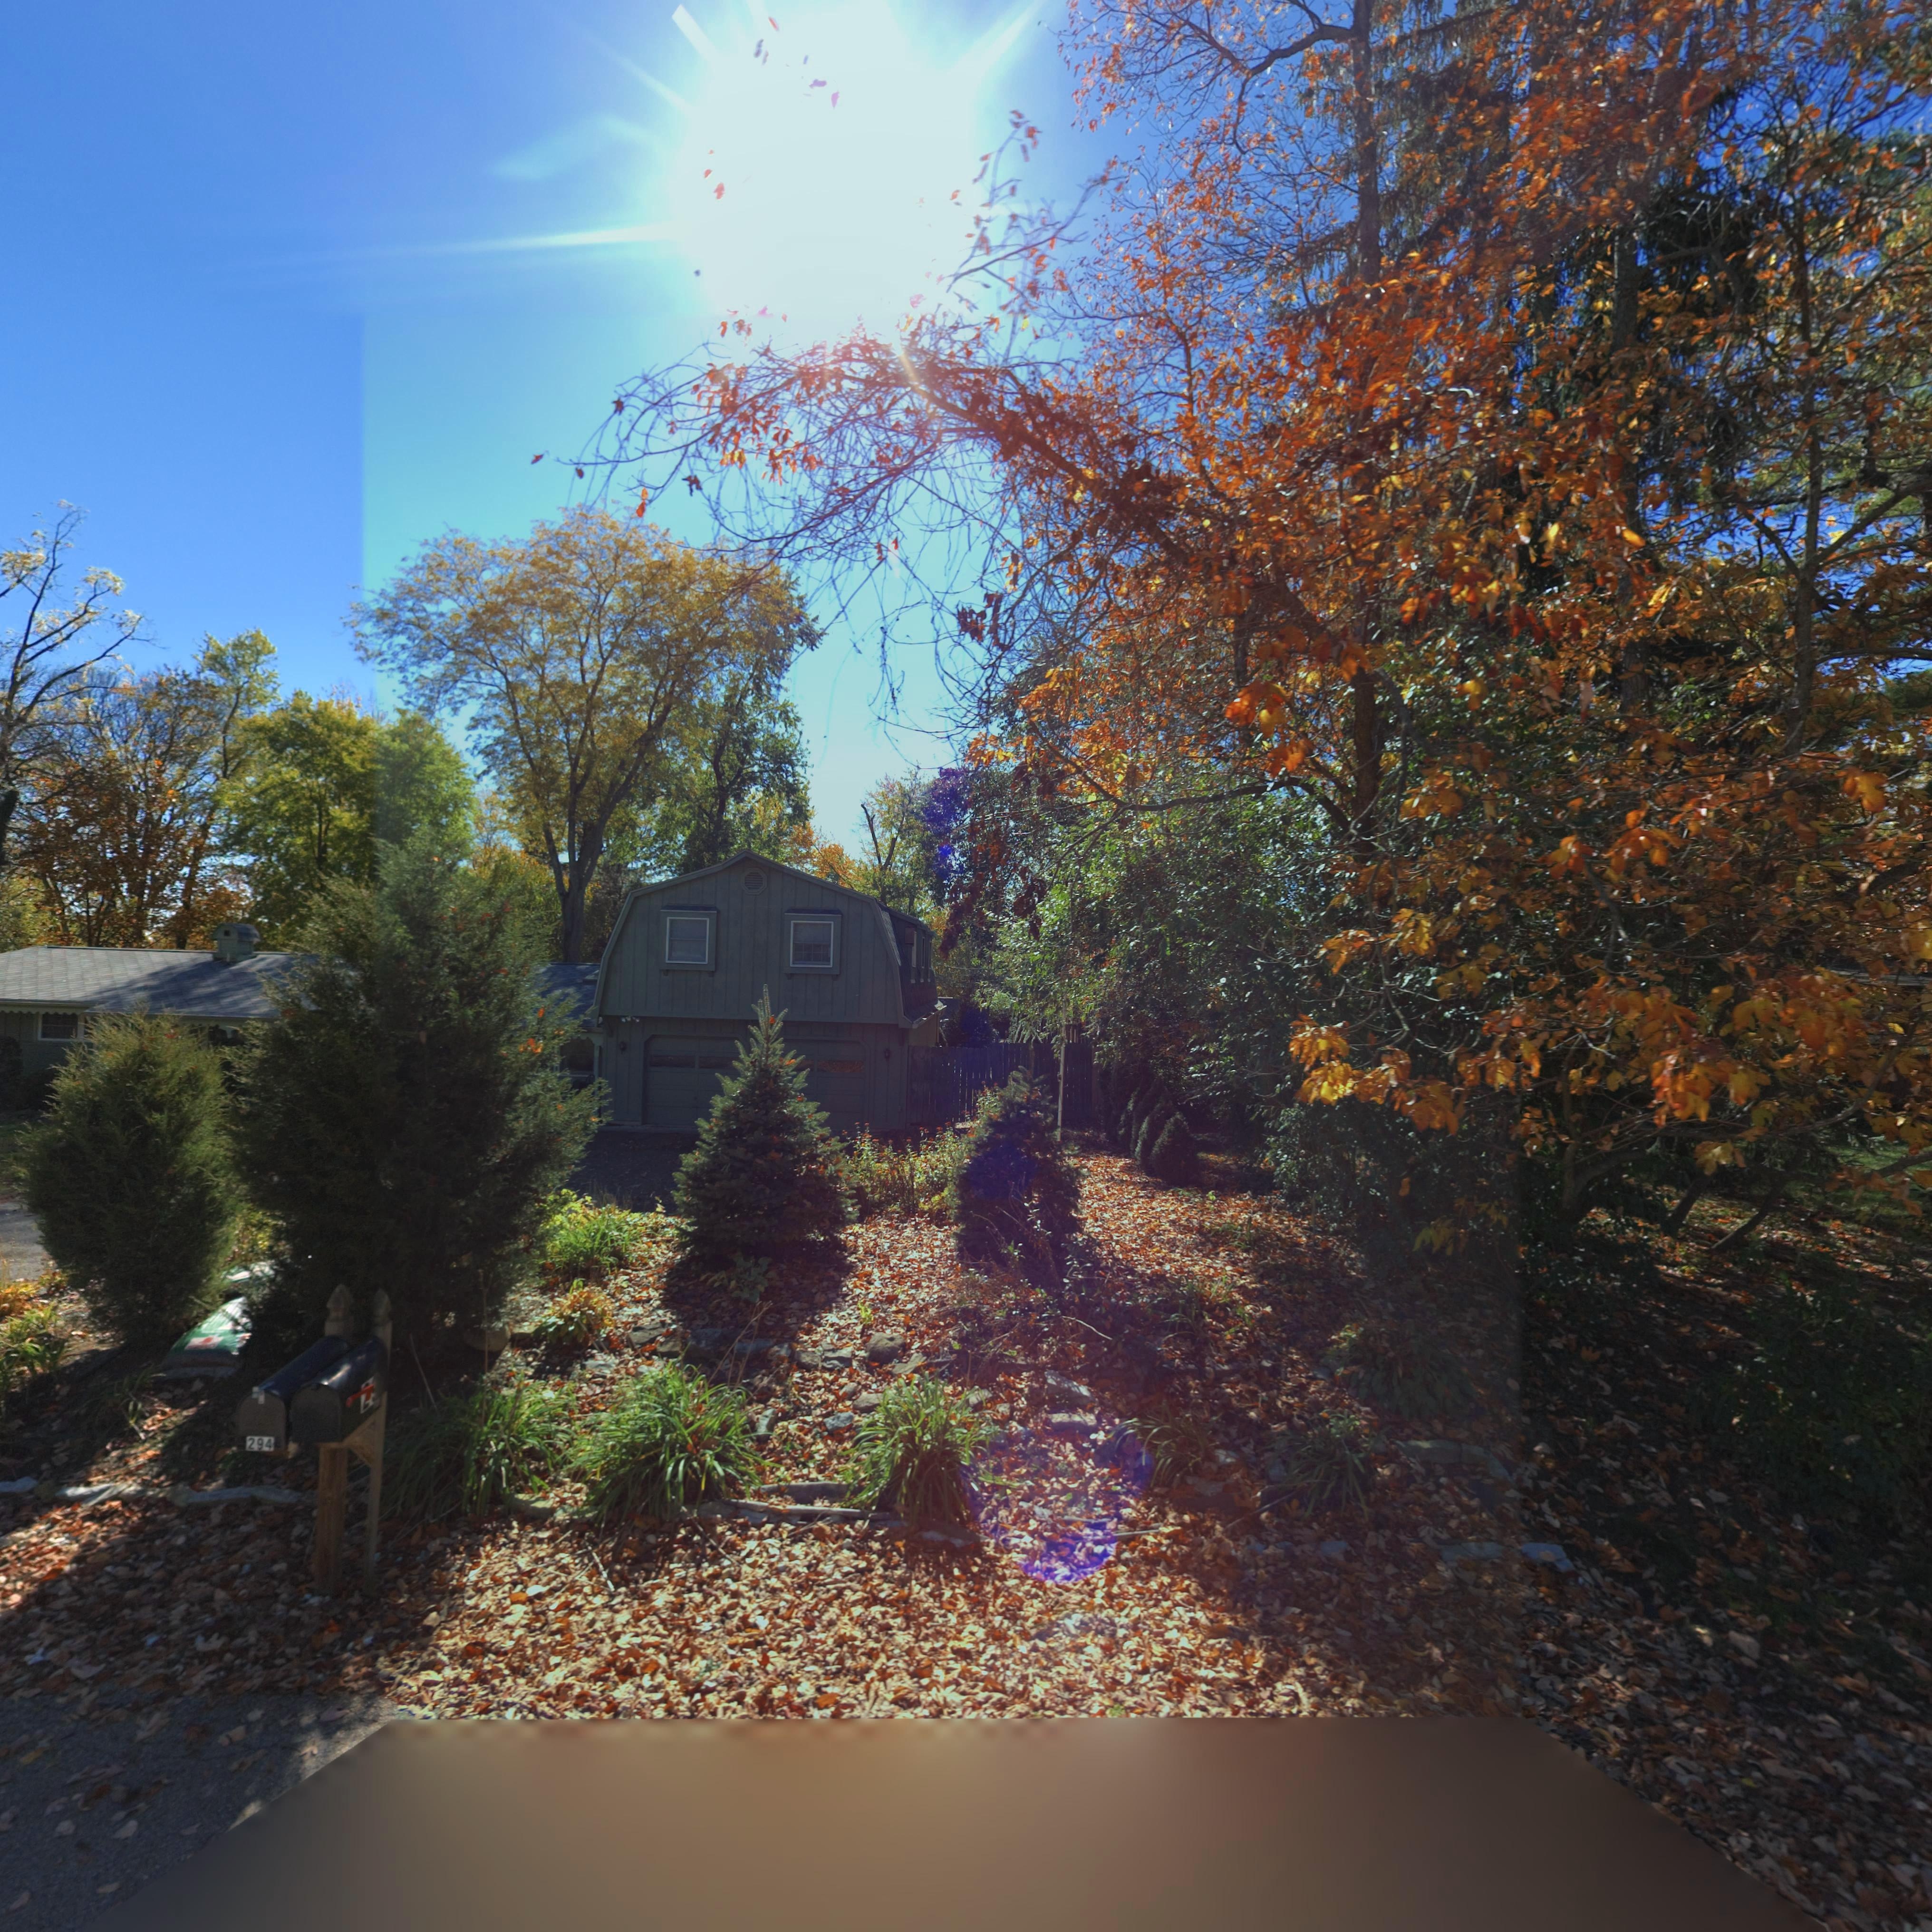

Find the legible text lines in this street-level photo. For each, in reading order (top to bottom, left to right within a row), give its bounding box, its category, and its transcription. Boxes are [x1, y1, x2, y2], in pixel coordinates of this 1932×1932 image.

[247, 1436, 273, 1452] StreetNumber: 294